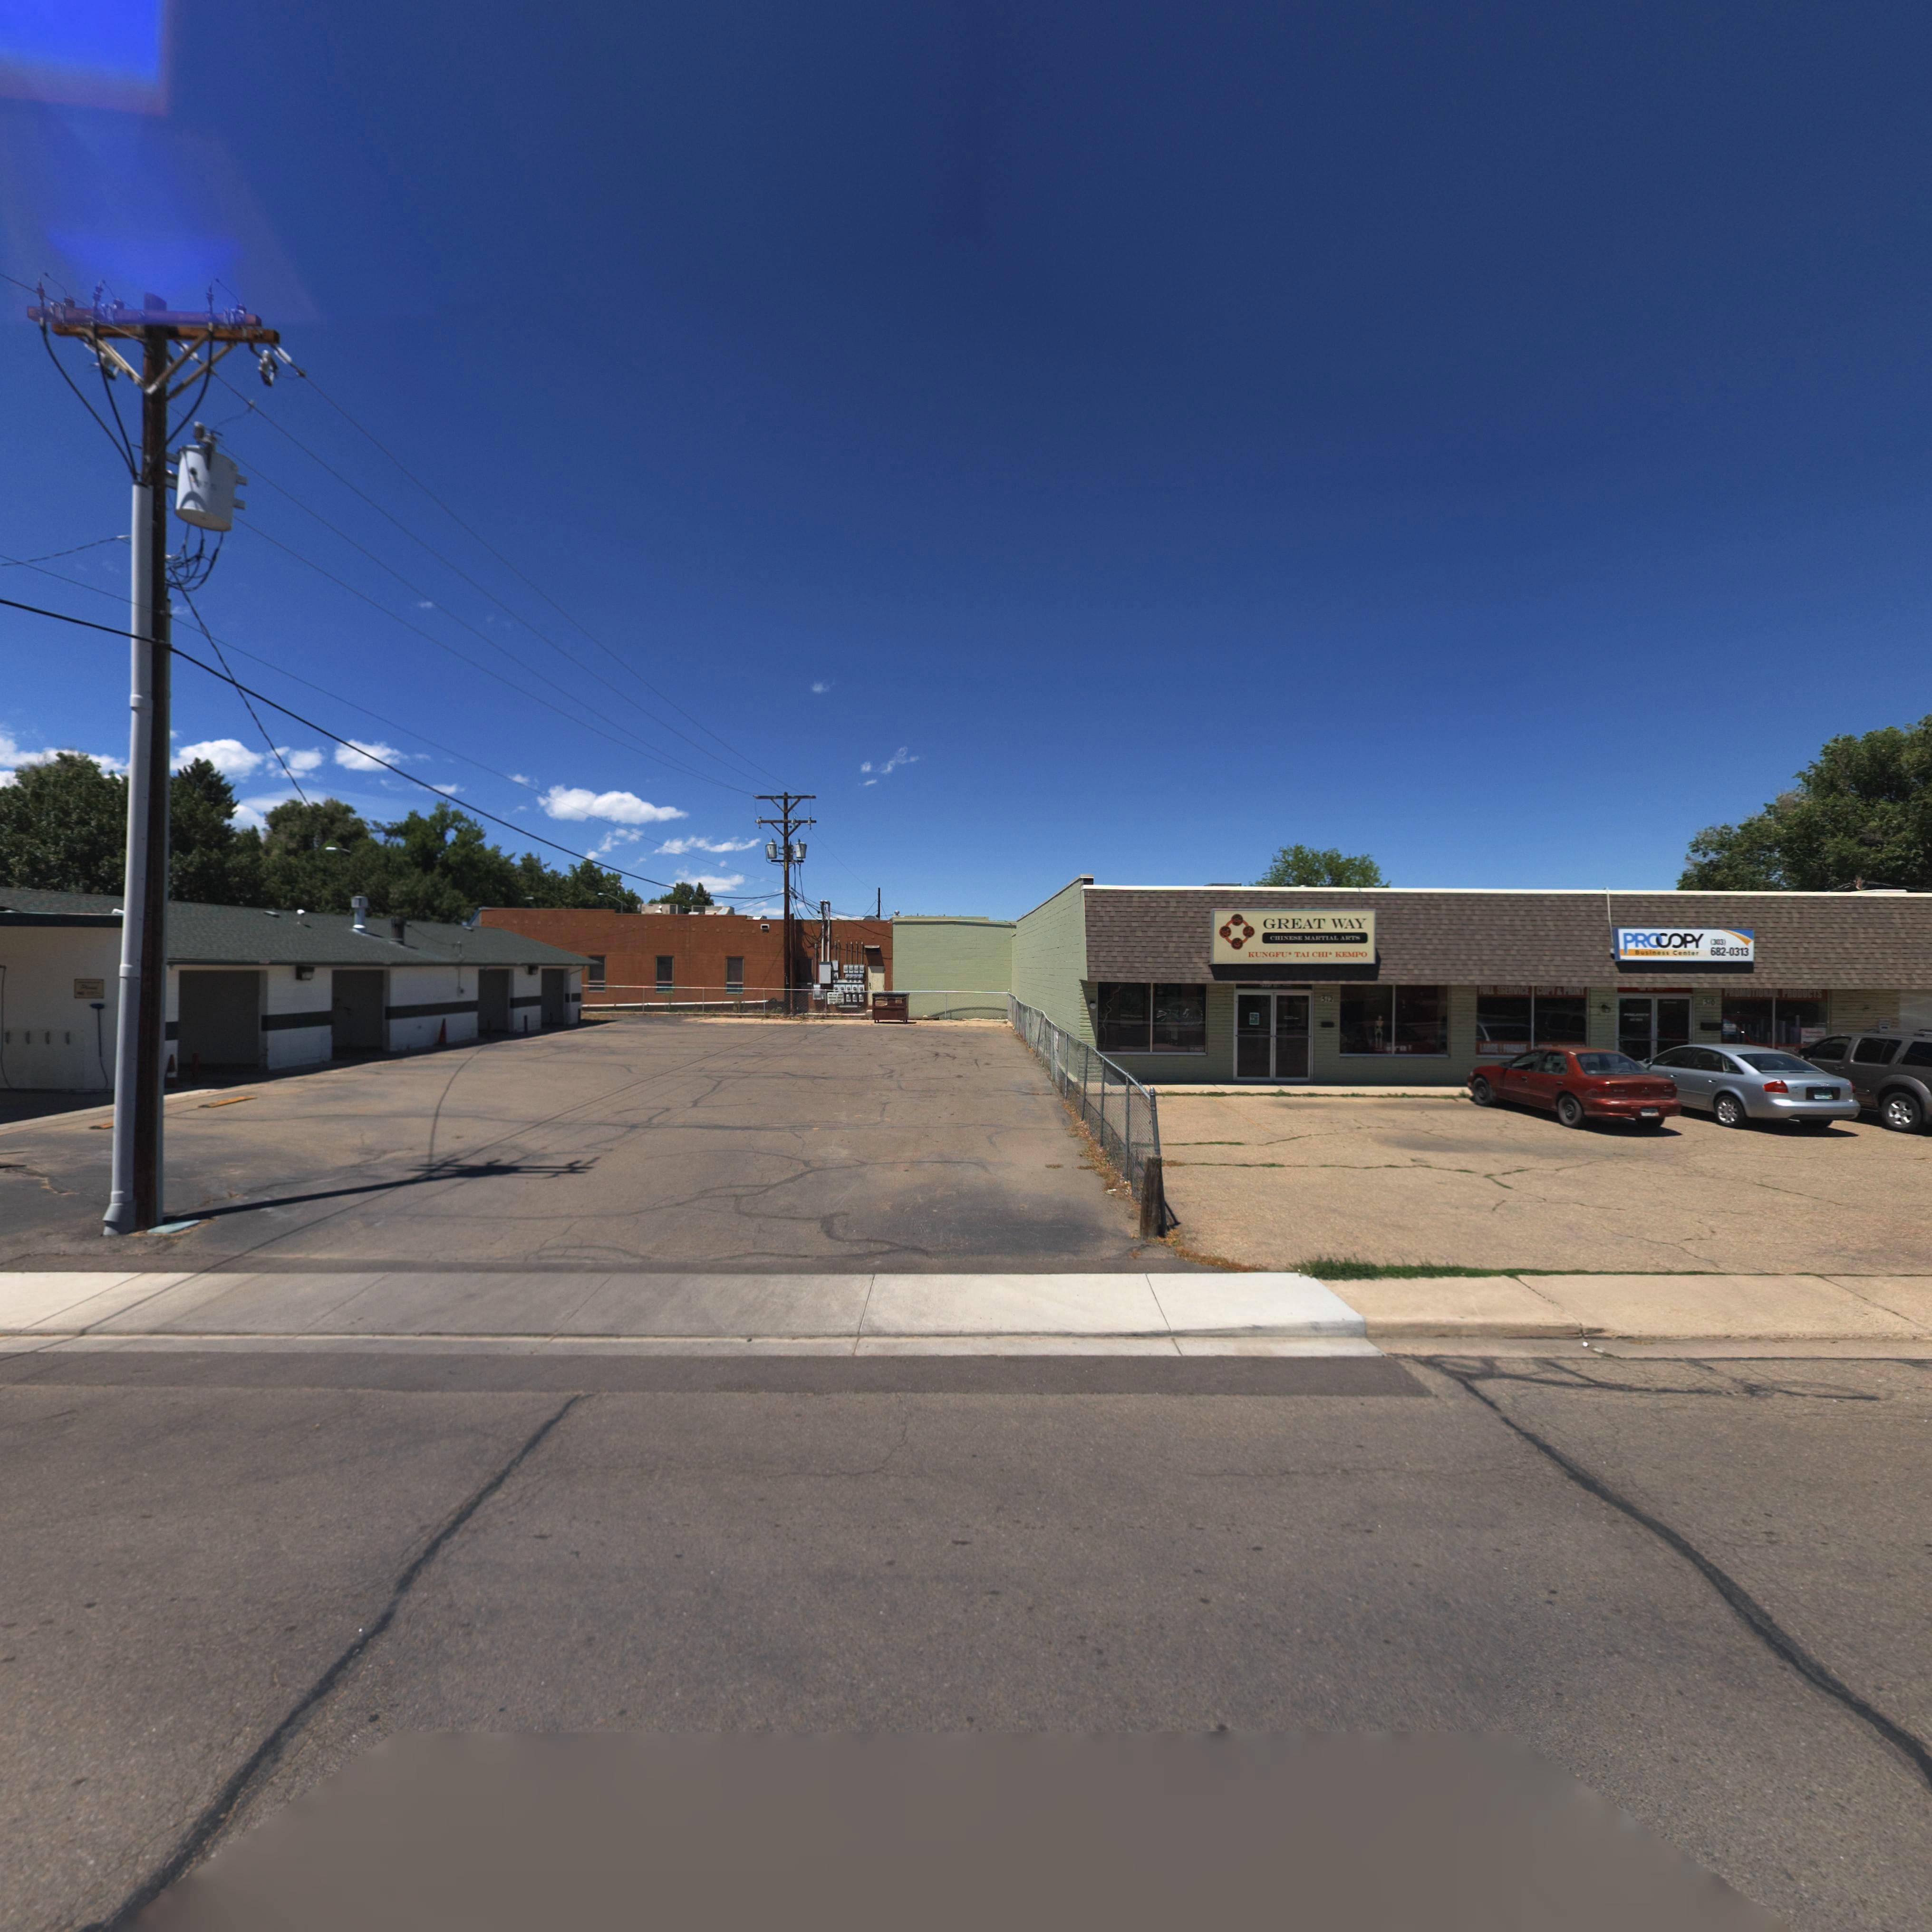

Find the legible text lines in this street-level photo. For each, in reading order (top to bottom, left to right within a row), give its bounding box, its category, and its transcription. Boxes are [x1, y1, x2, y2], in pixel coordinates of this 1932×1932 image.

[1262, 917, 1367, 929] BusinessName: GREAT WAY
[1268, 935, 1361, 941] BusinessName: CHINESE MARTIAL ARTS
[1622, 932, 1705, 955] BusinessName: PR**OPY
[1635, 949, 1700, 956] None: Business Center
[1321, 996, 1333, 1002] StreetNumber: 512
[1703, 998, 1716, 1005] StreetNumber: 516